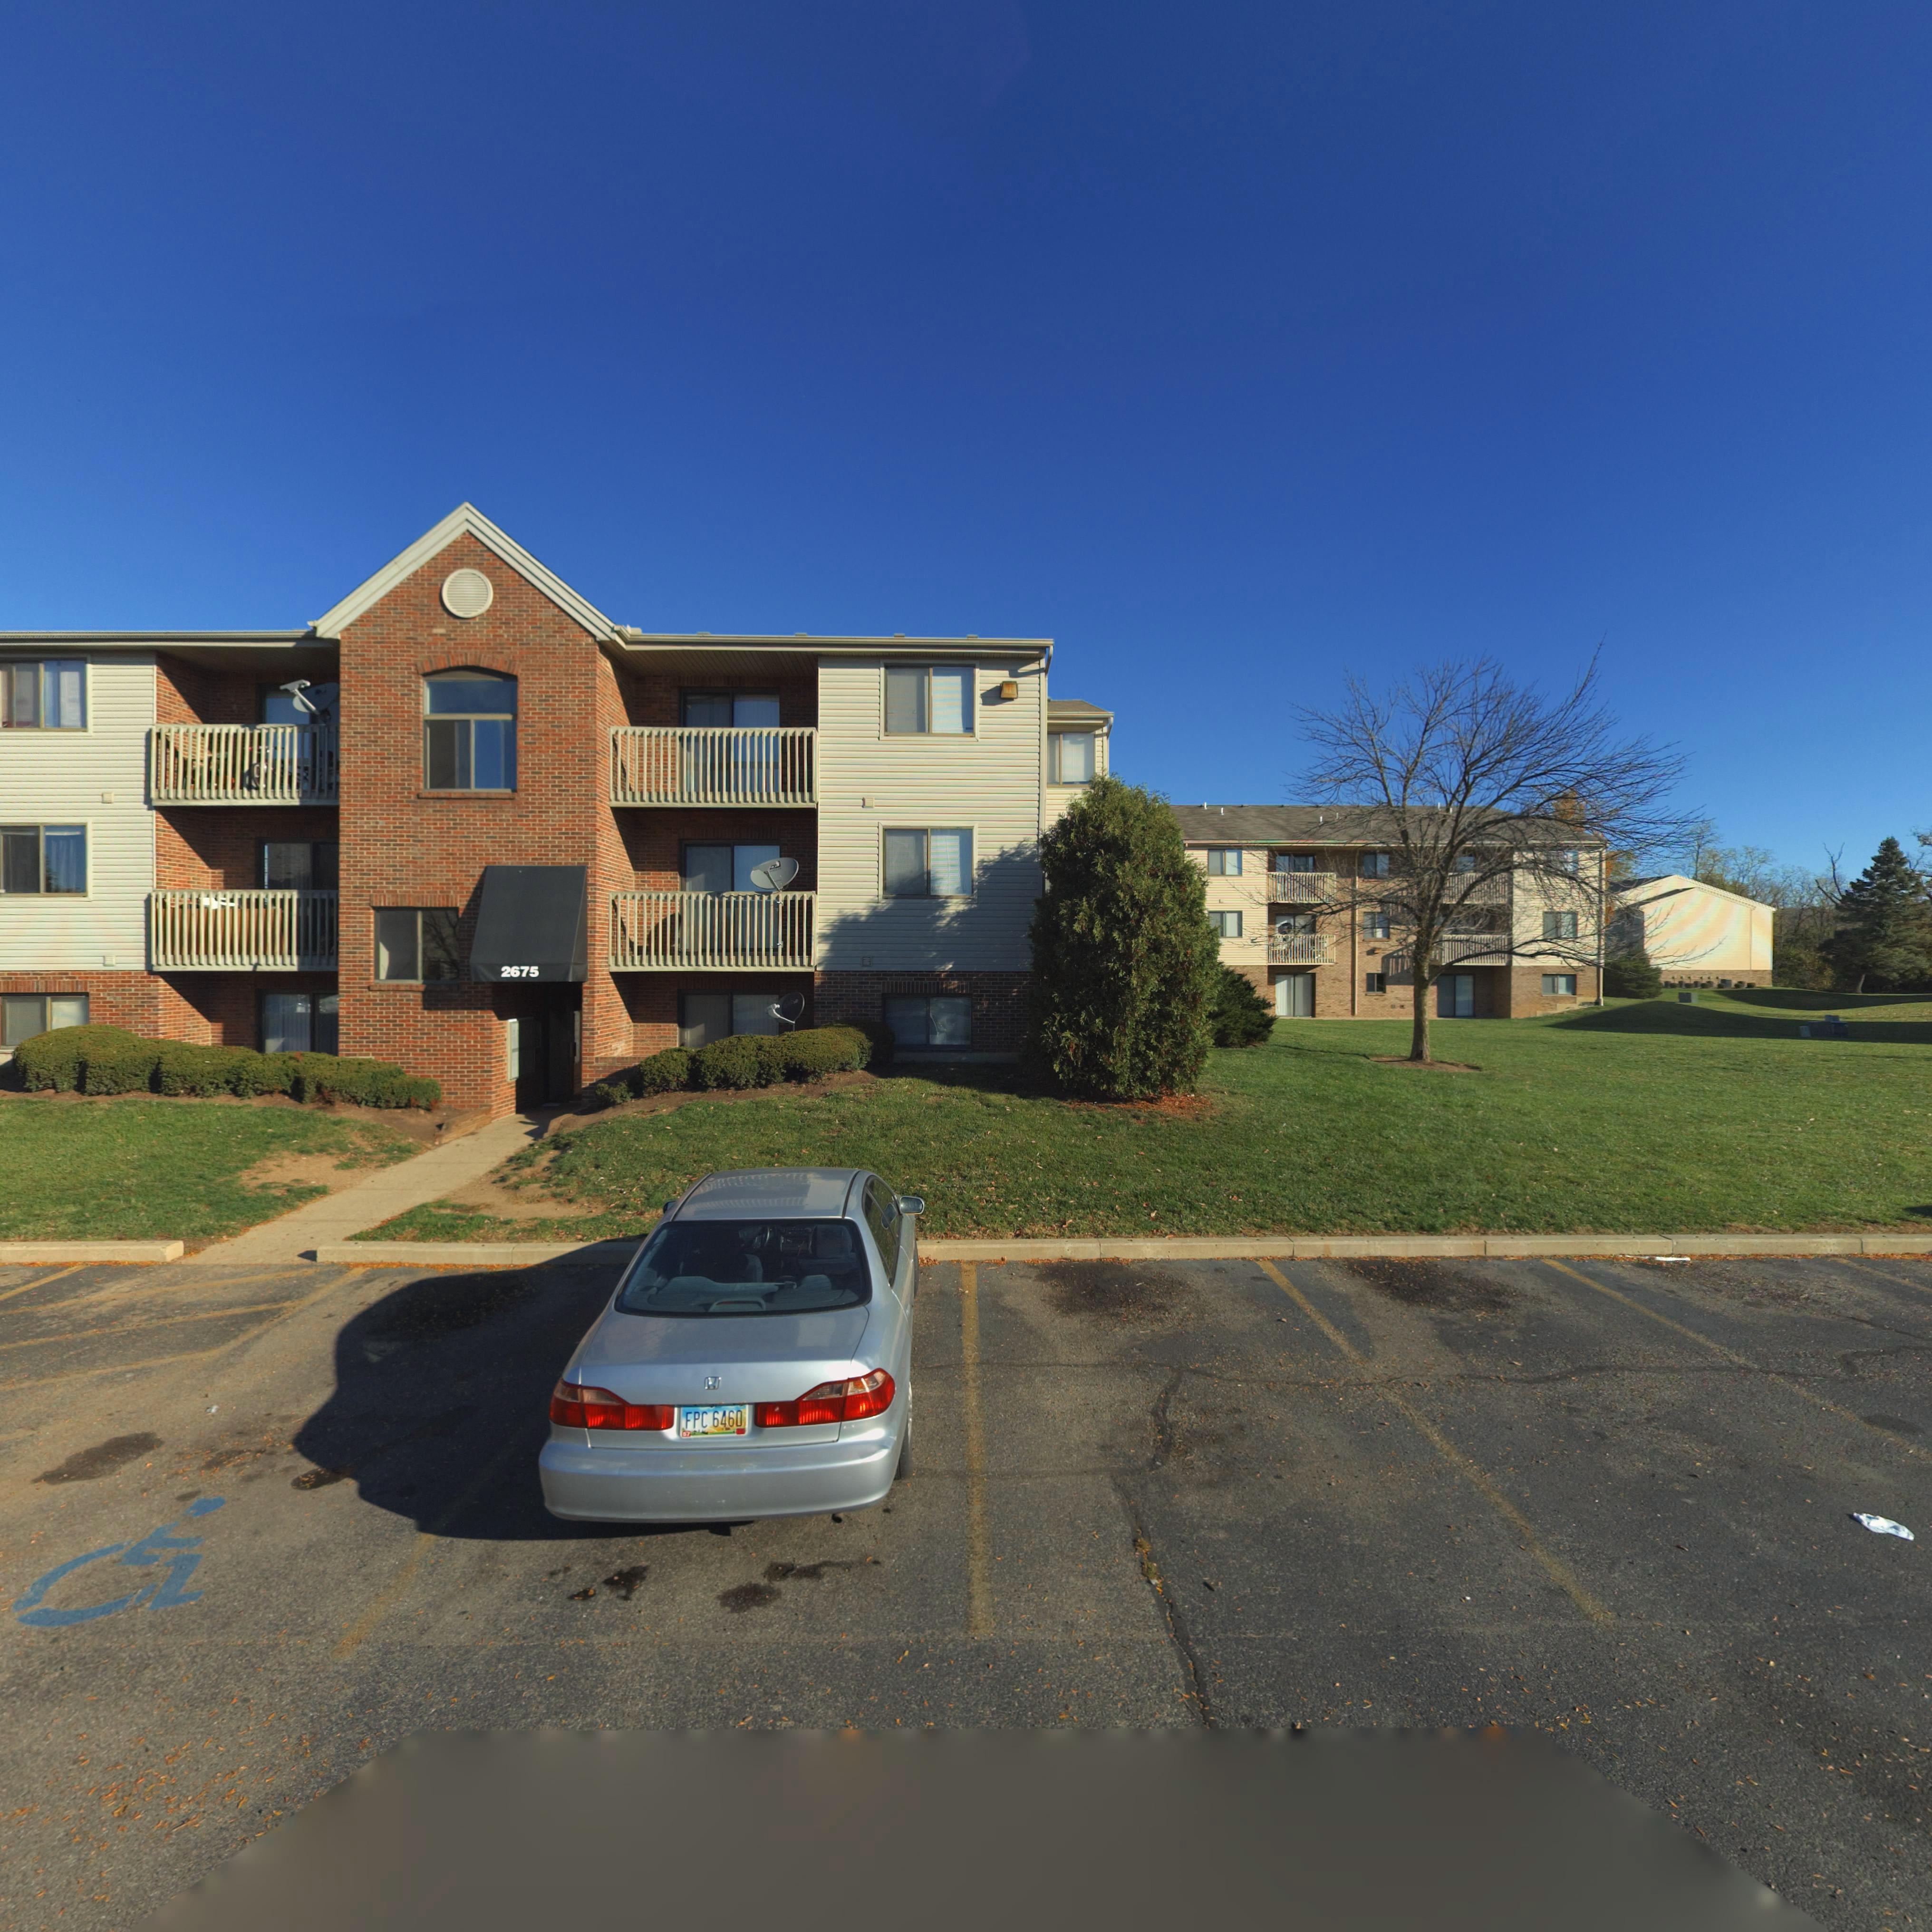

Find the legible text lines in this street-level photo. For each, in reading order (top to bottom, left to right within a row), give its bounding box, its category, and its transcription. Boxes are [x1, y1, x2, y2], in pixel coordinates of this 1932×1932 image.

[500, 966, 540, 978] StreetNumber: 2675